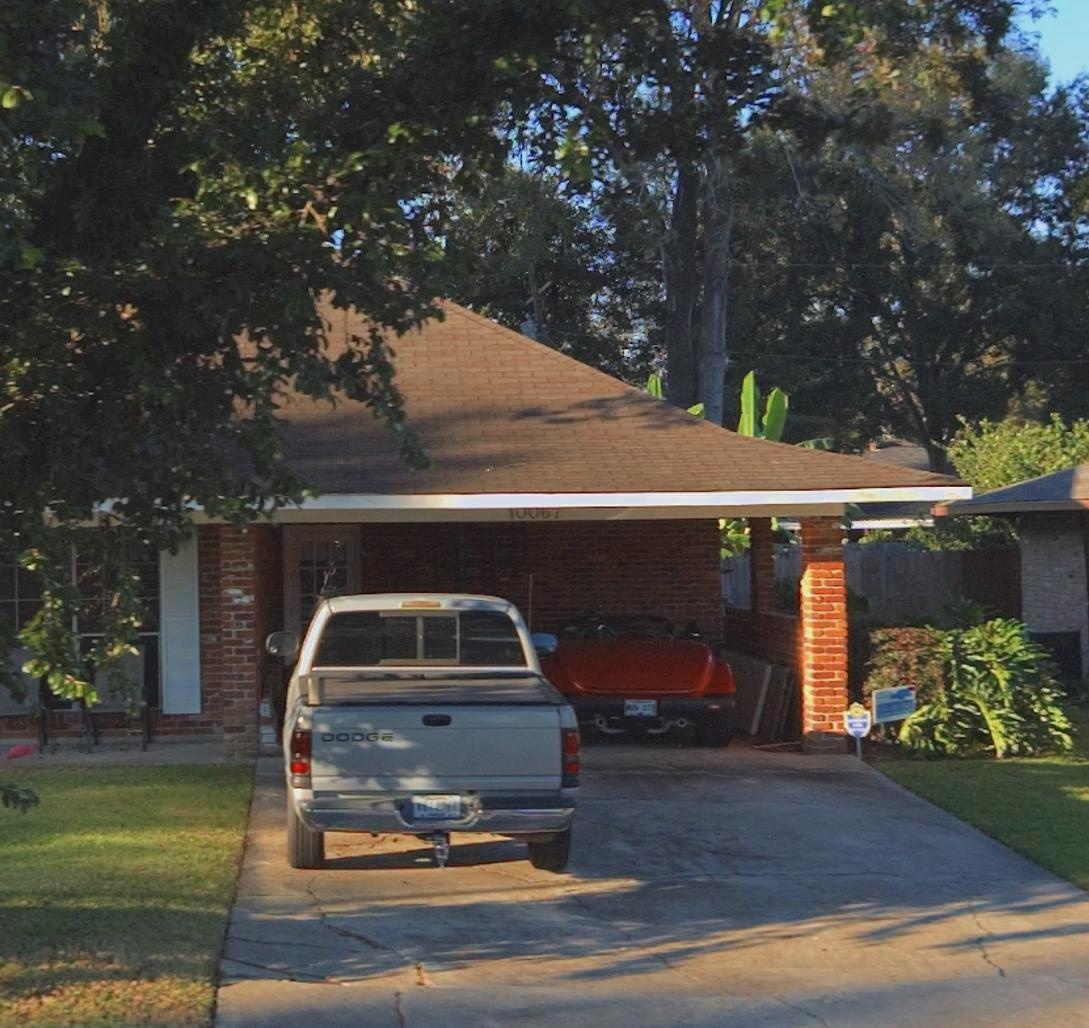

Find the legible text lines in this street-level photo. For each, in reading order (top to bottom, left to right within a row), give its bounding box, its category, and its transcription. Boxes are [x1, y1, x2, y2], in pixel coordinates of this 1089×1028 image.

[507, 507, 565, 520] StreetNumber: 1****
[320, 731, 395, 743] None: DODGE